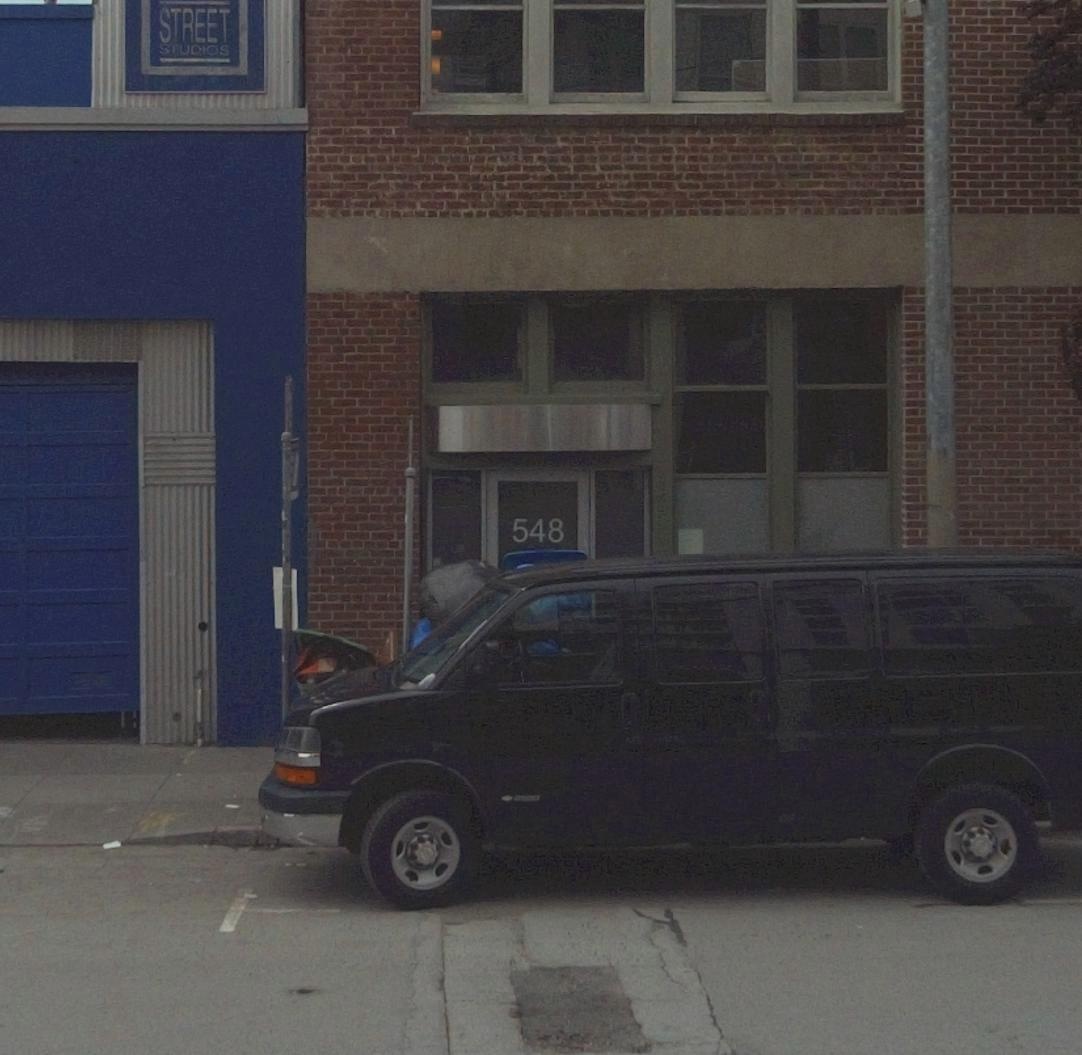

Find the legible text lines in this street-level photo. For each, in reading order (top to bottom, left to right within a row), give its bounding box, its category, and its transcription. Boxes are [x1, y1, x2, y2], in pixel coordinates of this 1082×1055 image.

[156, 5, 232, 45] None: STREET
[156, 41, 232, 58] None: STUDIOS
[510, 516, 566, 545] StreetNumber: 548